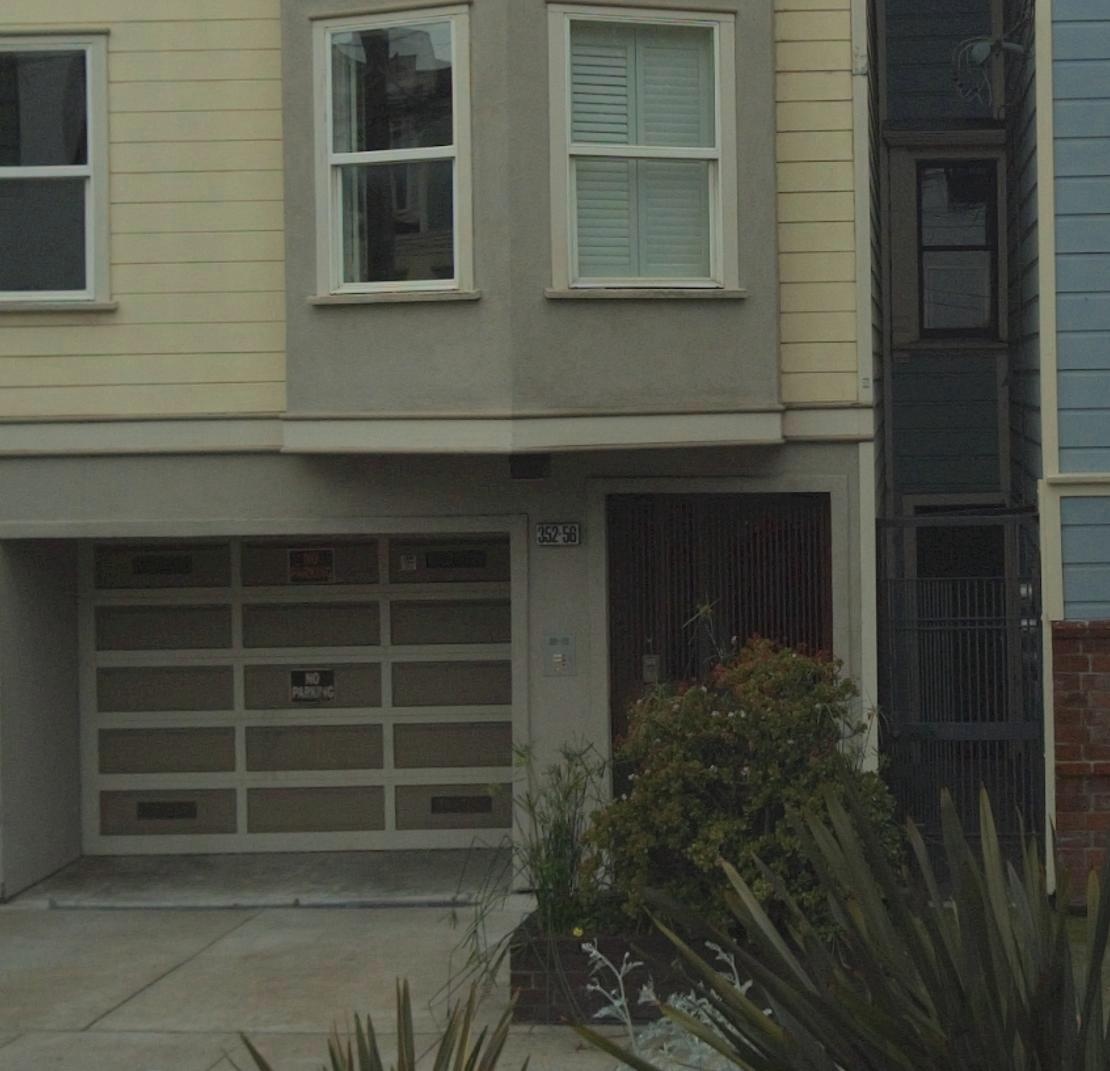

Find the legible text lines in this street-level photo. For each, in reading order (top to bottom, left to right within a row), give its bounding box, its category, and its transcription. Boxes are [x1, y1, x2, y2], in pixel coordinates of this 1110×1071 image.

[536, 524, 578, 544] StreetNumber: 352-56
[301, 552, 318, 565] None: NO
[289, 565, 331, 578] None: PARKING
[304, 672, 320, 685] None: NO
[291, 685, 334, 698] None: PARKING